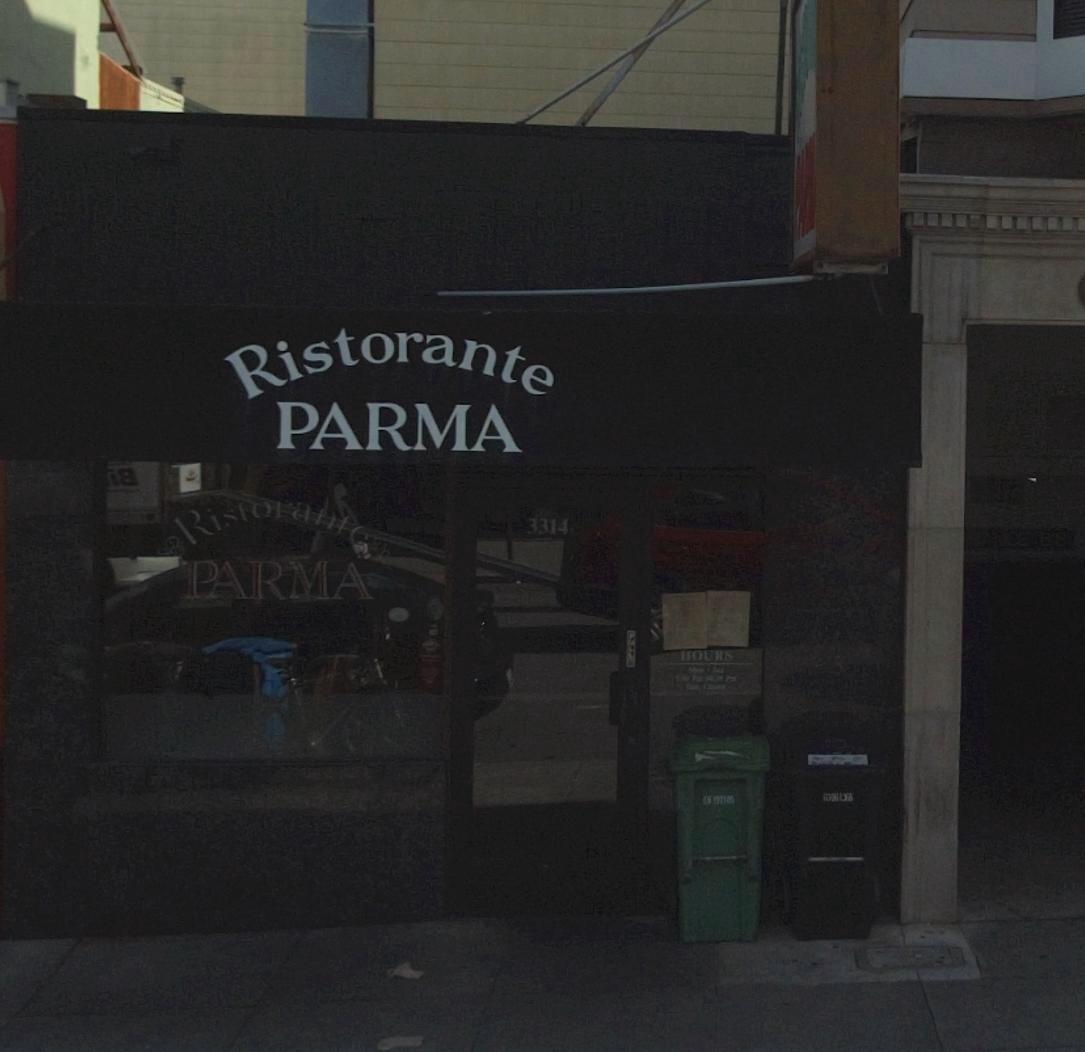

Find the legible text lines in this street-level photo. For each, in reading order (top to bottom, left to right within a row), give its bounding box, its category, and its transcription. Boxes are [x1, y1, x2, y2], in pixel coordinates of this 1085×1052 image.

[217, 323, 559, 403] BusinessName: Ristorante
[273, 398, 528, 455] BusinessName: PARMA
[168, 494, 376, 551] BusinessName: Ristoran**
[525, 515, 571, 538] StreetNumber: 3314
[182, 556, 377, 602] BusinessName: PARMA
[625, 630, 636, 661] None: PULL
[679, 647, 735, 664] None: HOURS